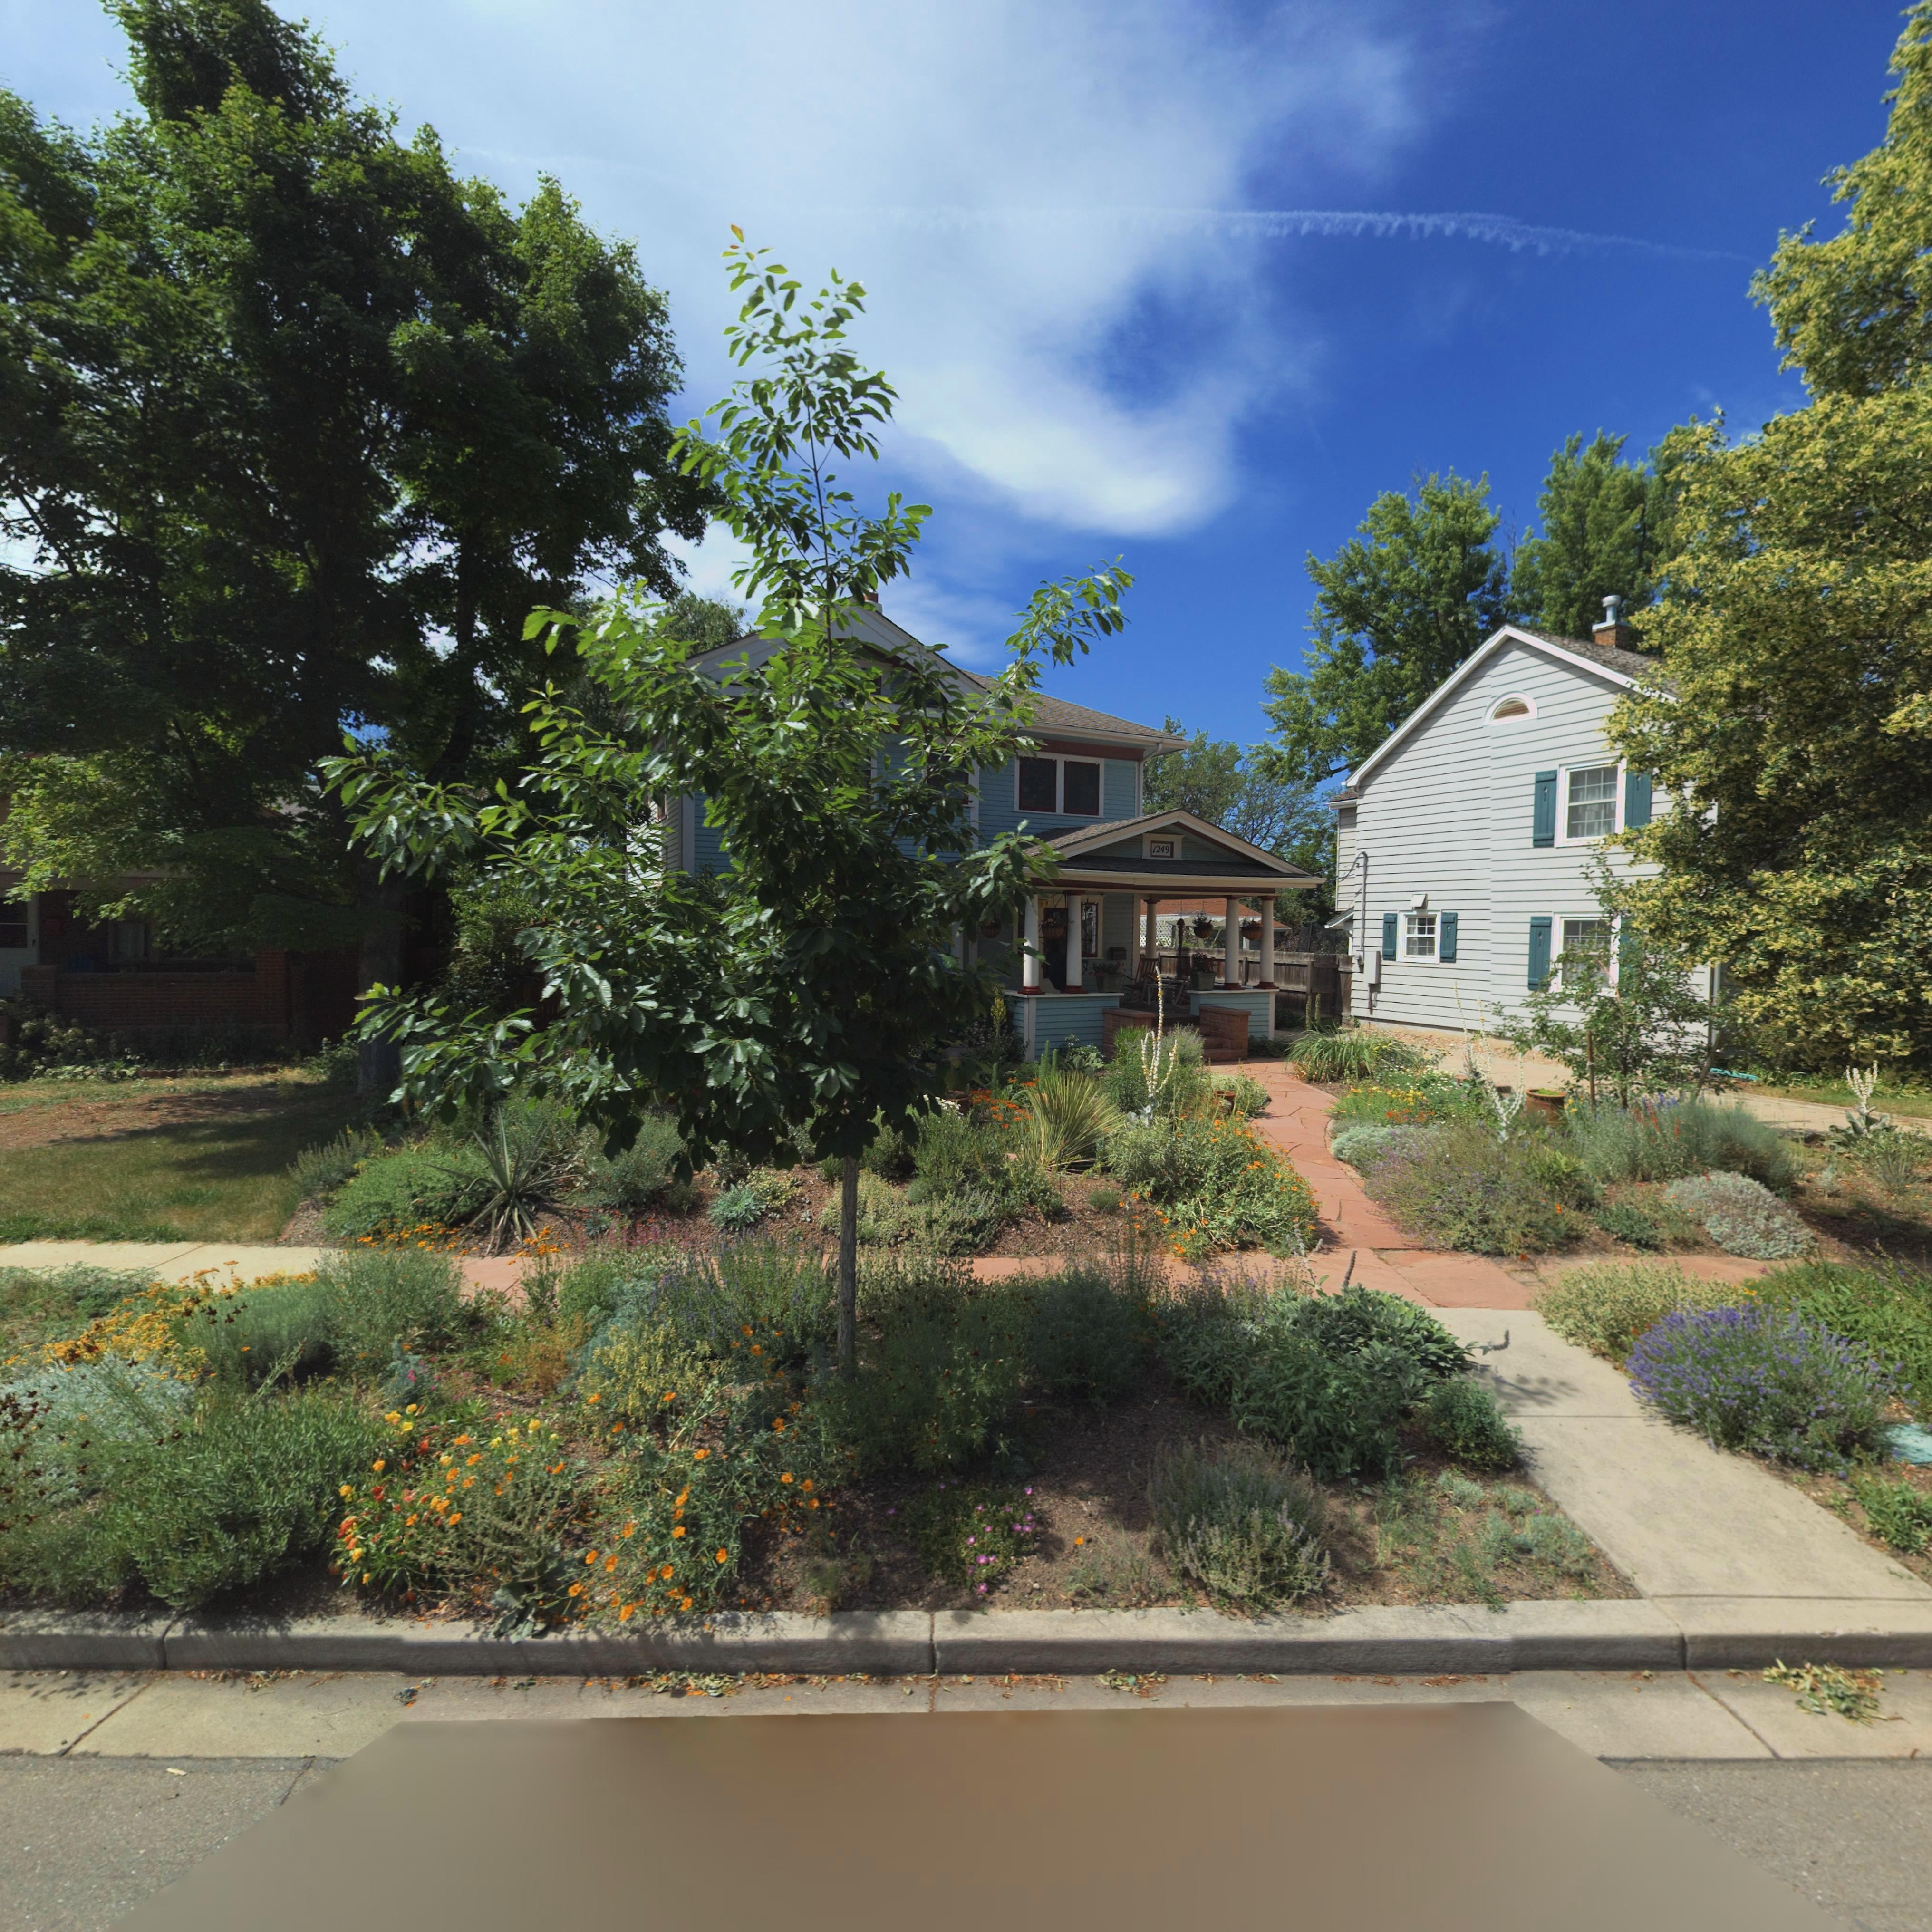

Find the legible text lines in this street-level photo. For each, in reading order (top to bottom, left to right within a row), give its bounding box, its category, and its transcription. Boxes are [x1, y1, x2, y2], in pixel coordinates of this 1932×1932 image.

[1152, 845, 1169, 853] StreetNumber: 1249